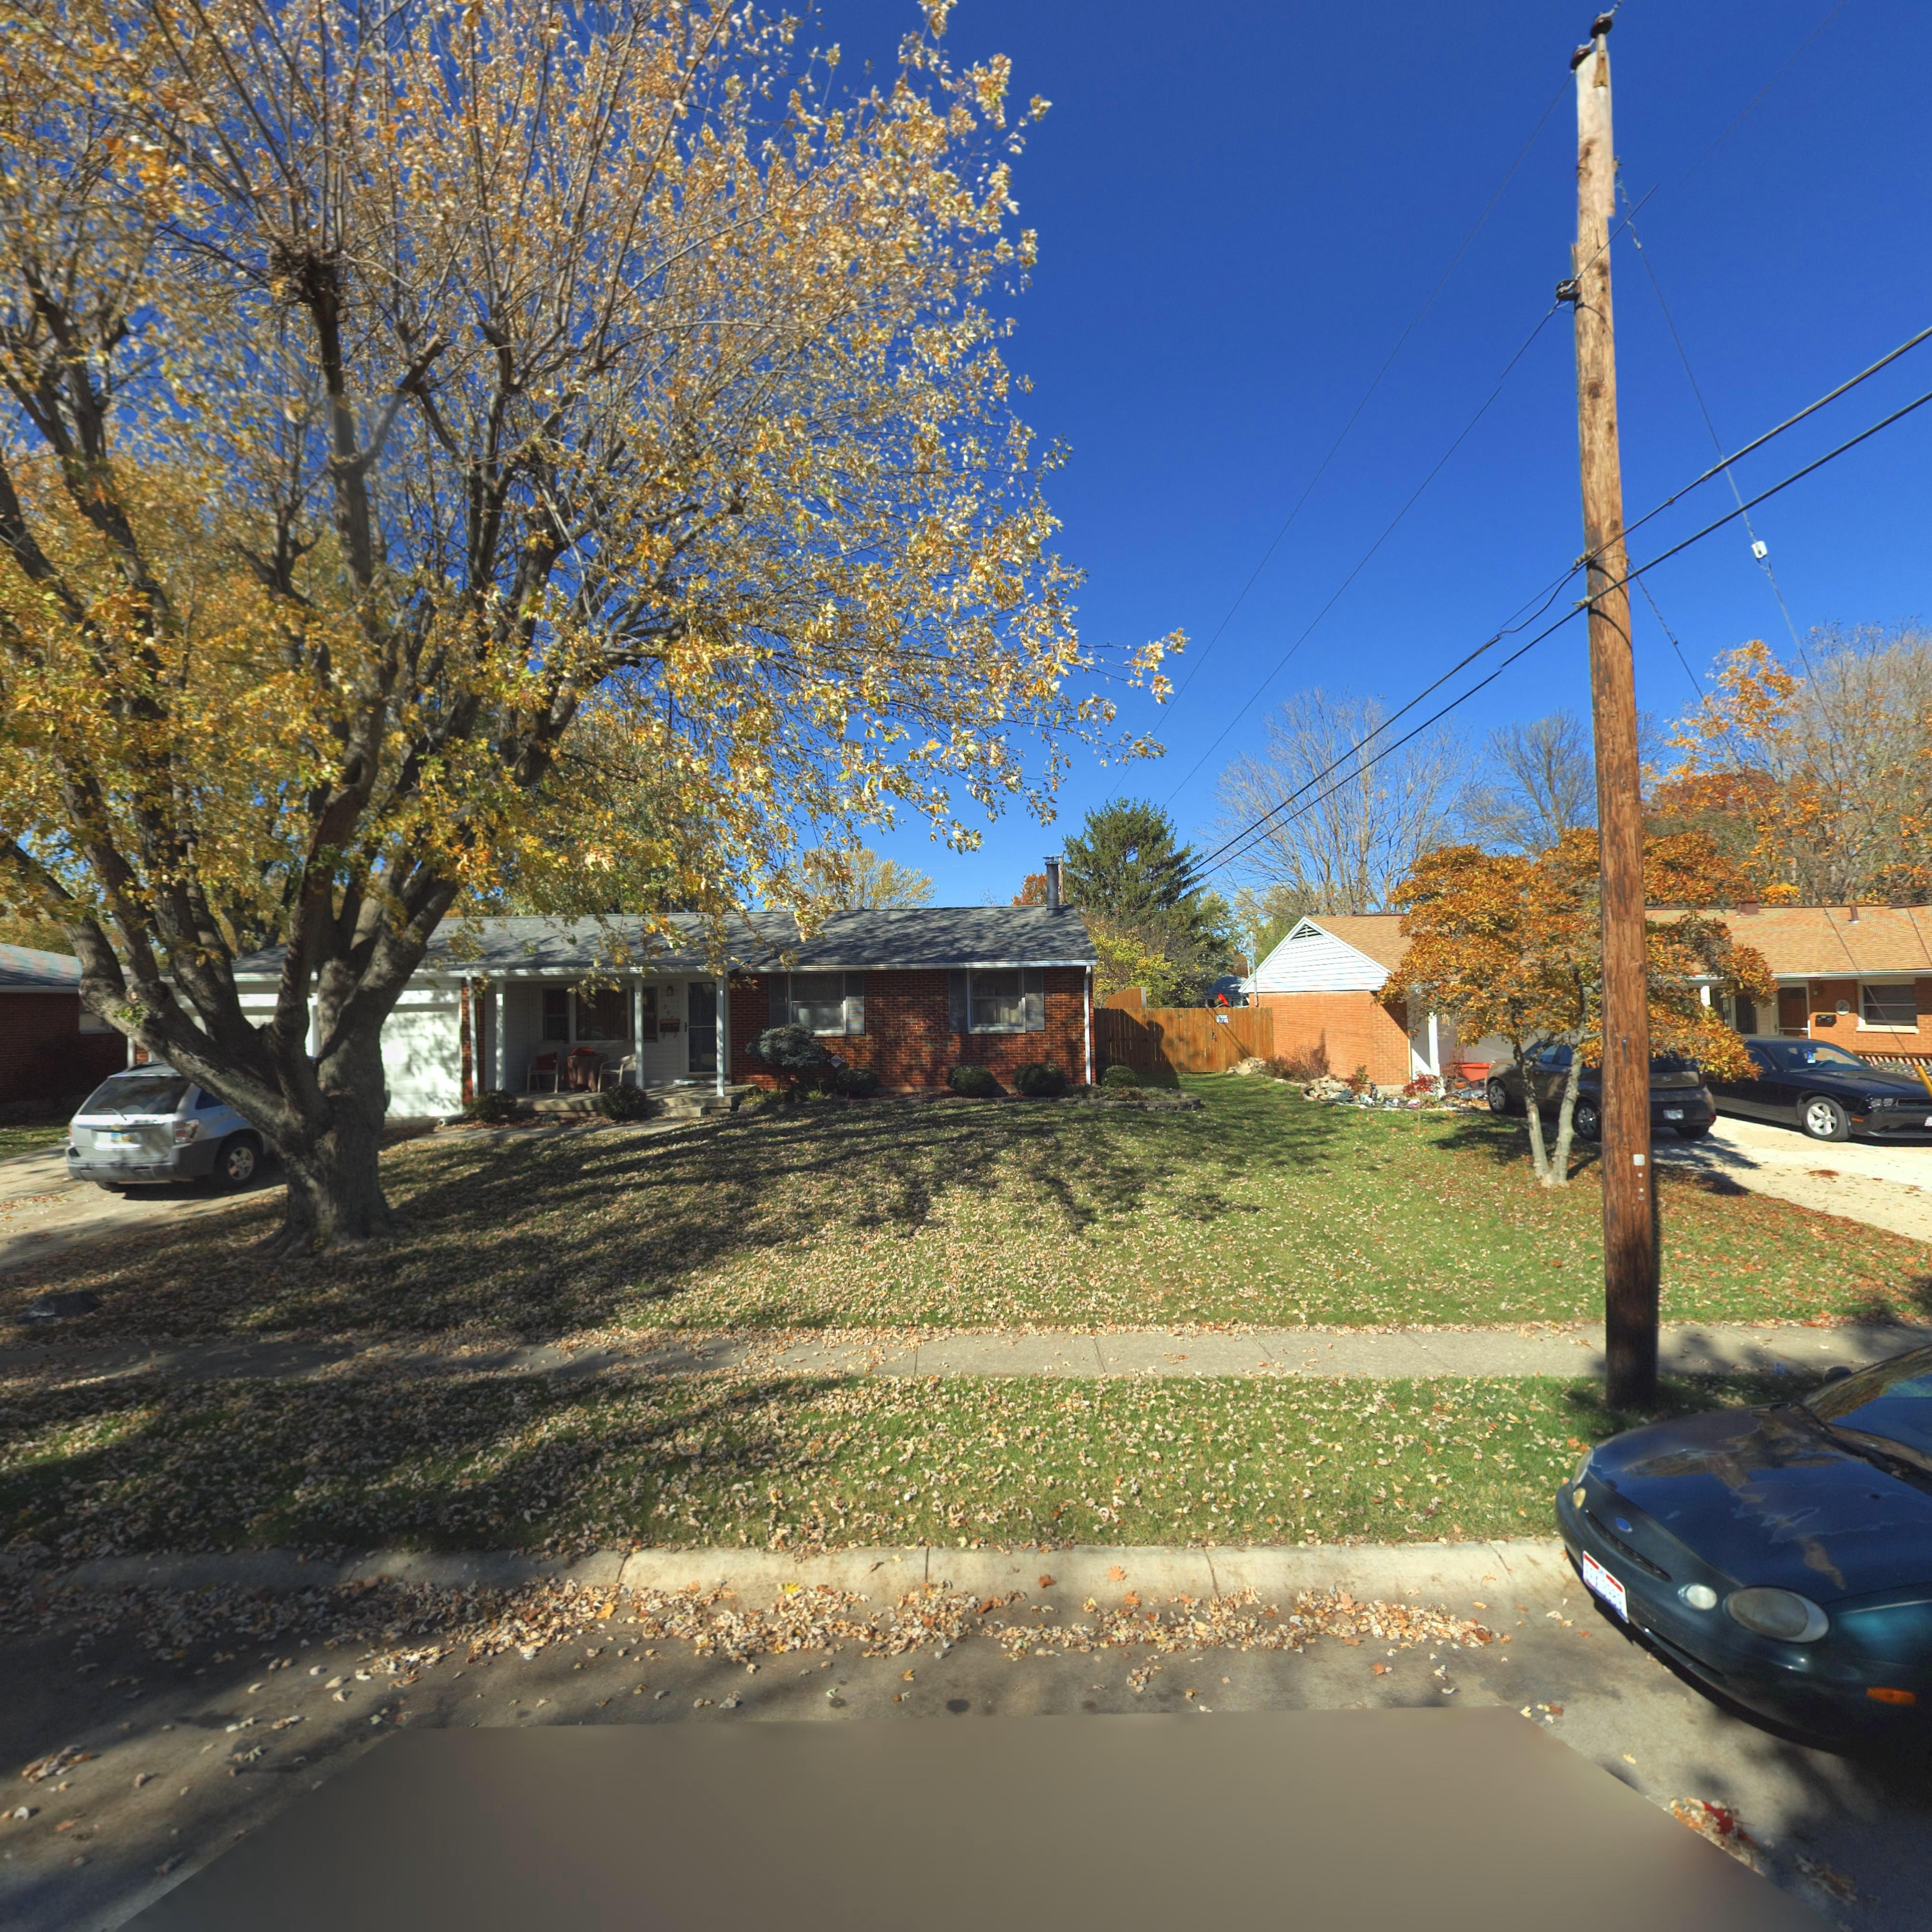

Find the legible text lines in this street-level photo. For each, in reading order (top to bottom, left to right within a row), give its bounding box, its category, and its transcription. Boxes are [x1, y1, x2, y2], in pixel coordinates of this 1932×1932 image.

[662, 1003, 672, 1017] StreetNumber: 30